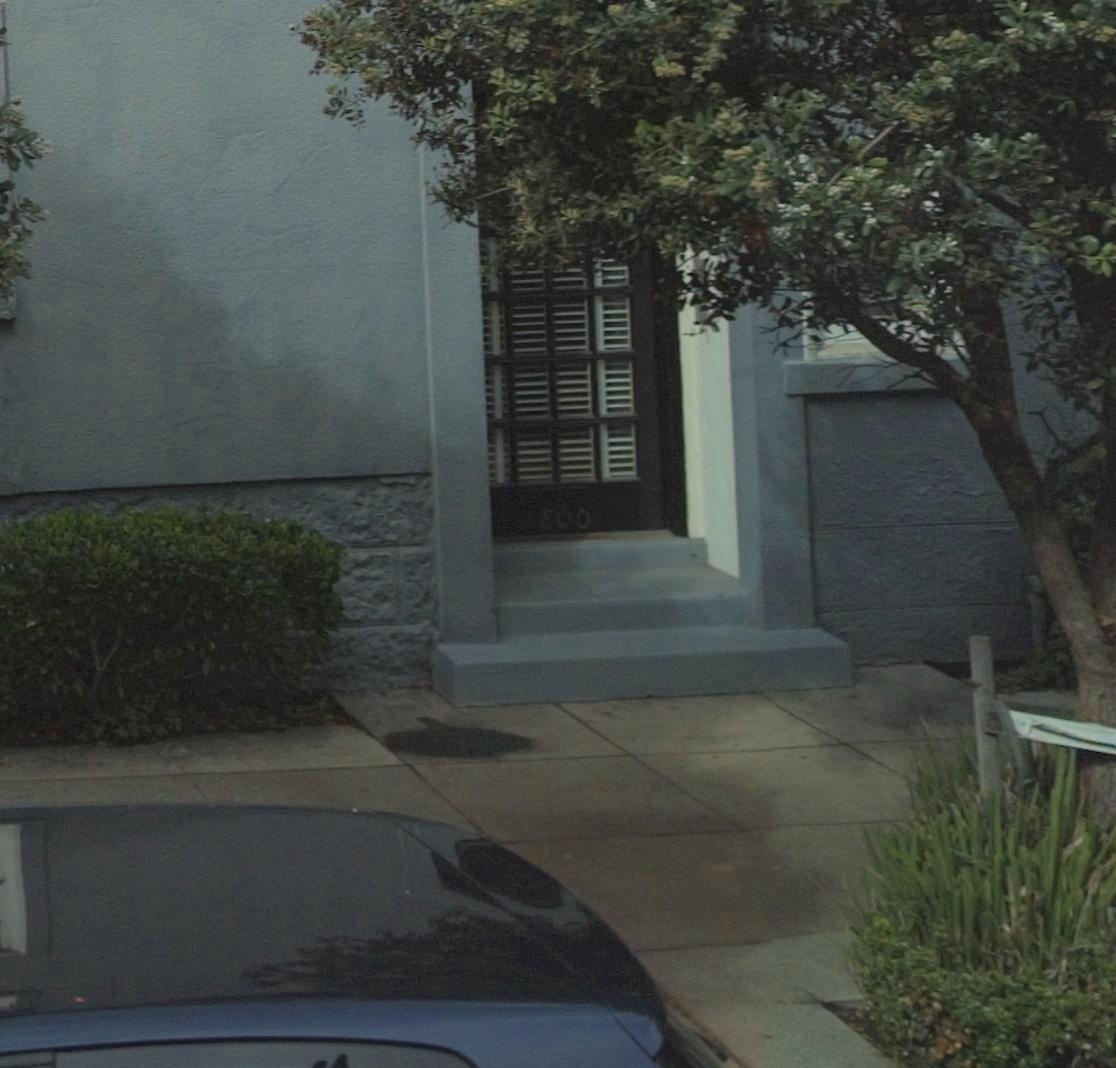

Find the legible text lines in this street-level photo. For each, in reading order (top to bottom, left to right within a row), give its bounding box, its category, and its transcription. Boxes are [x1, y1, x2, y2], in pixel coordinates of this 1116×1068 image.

[536, 505, 594, 532] StreetNumber: 800